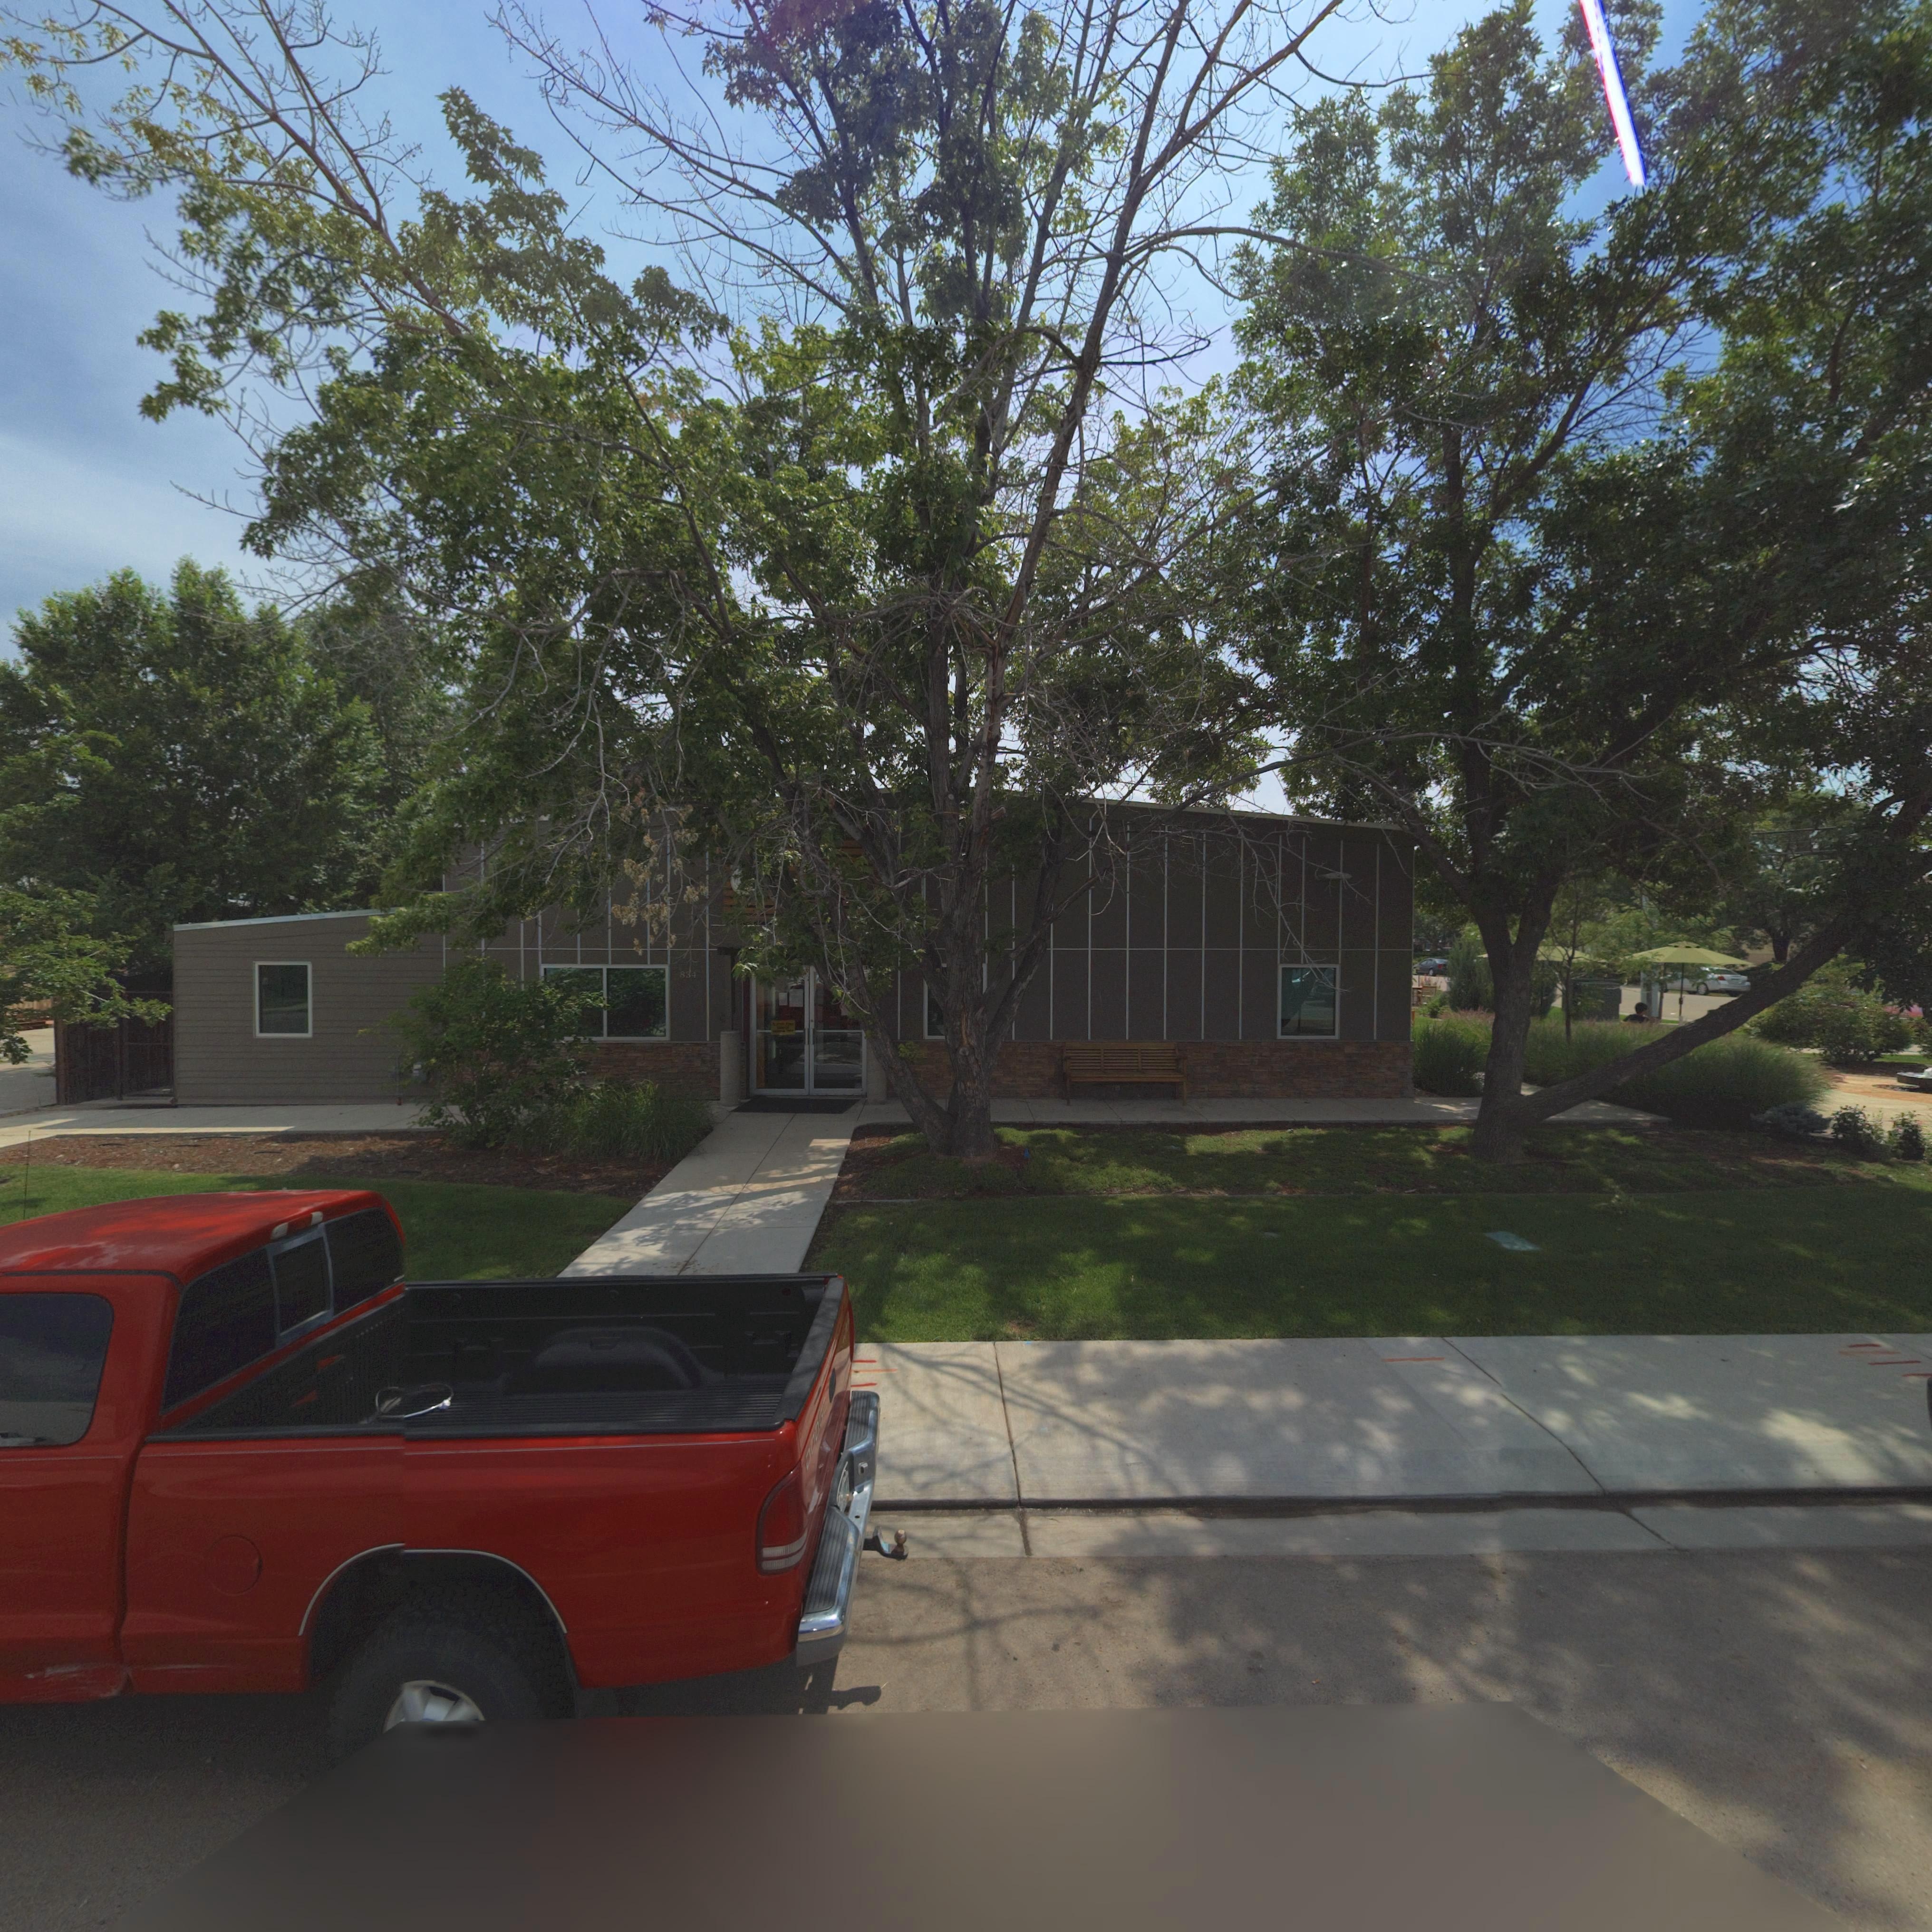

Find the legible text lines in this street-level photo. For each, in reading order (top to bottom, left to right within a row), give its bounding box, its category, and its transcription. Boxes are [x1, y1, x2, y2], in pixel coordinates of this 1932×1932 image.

[678, 970, 696, 978] StreetNumber: 834